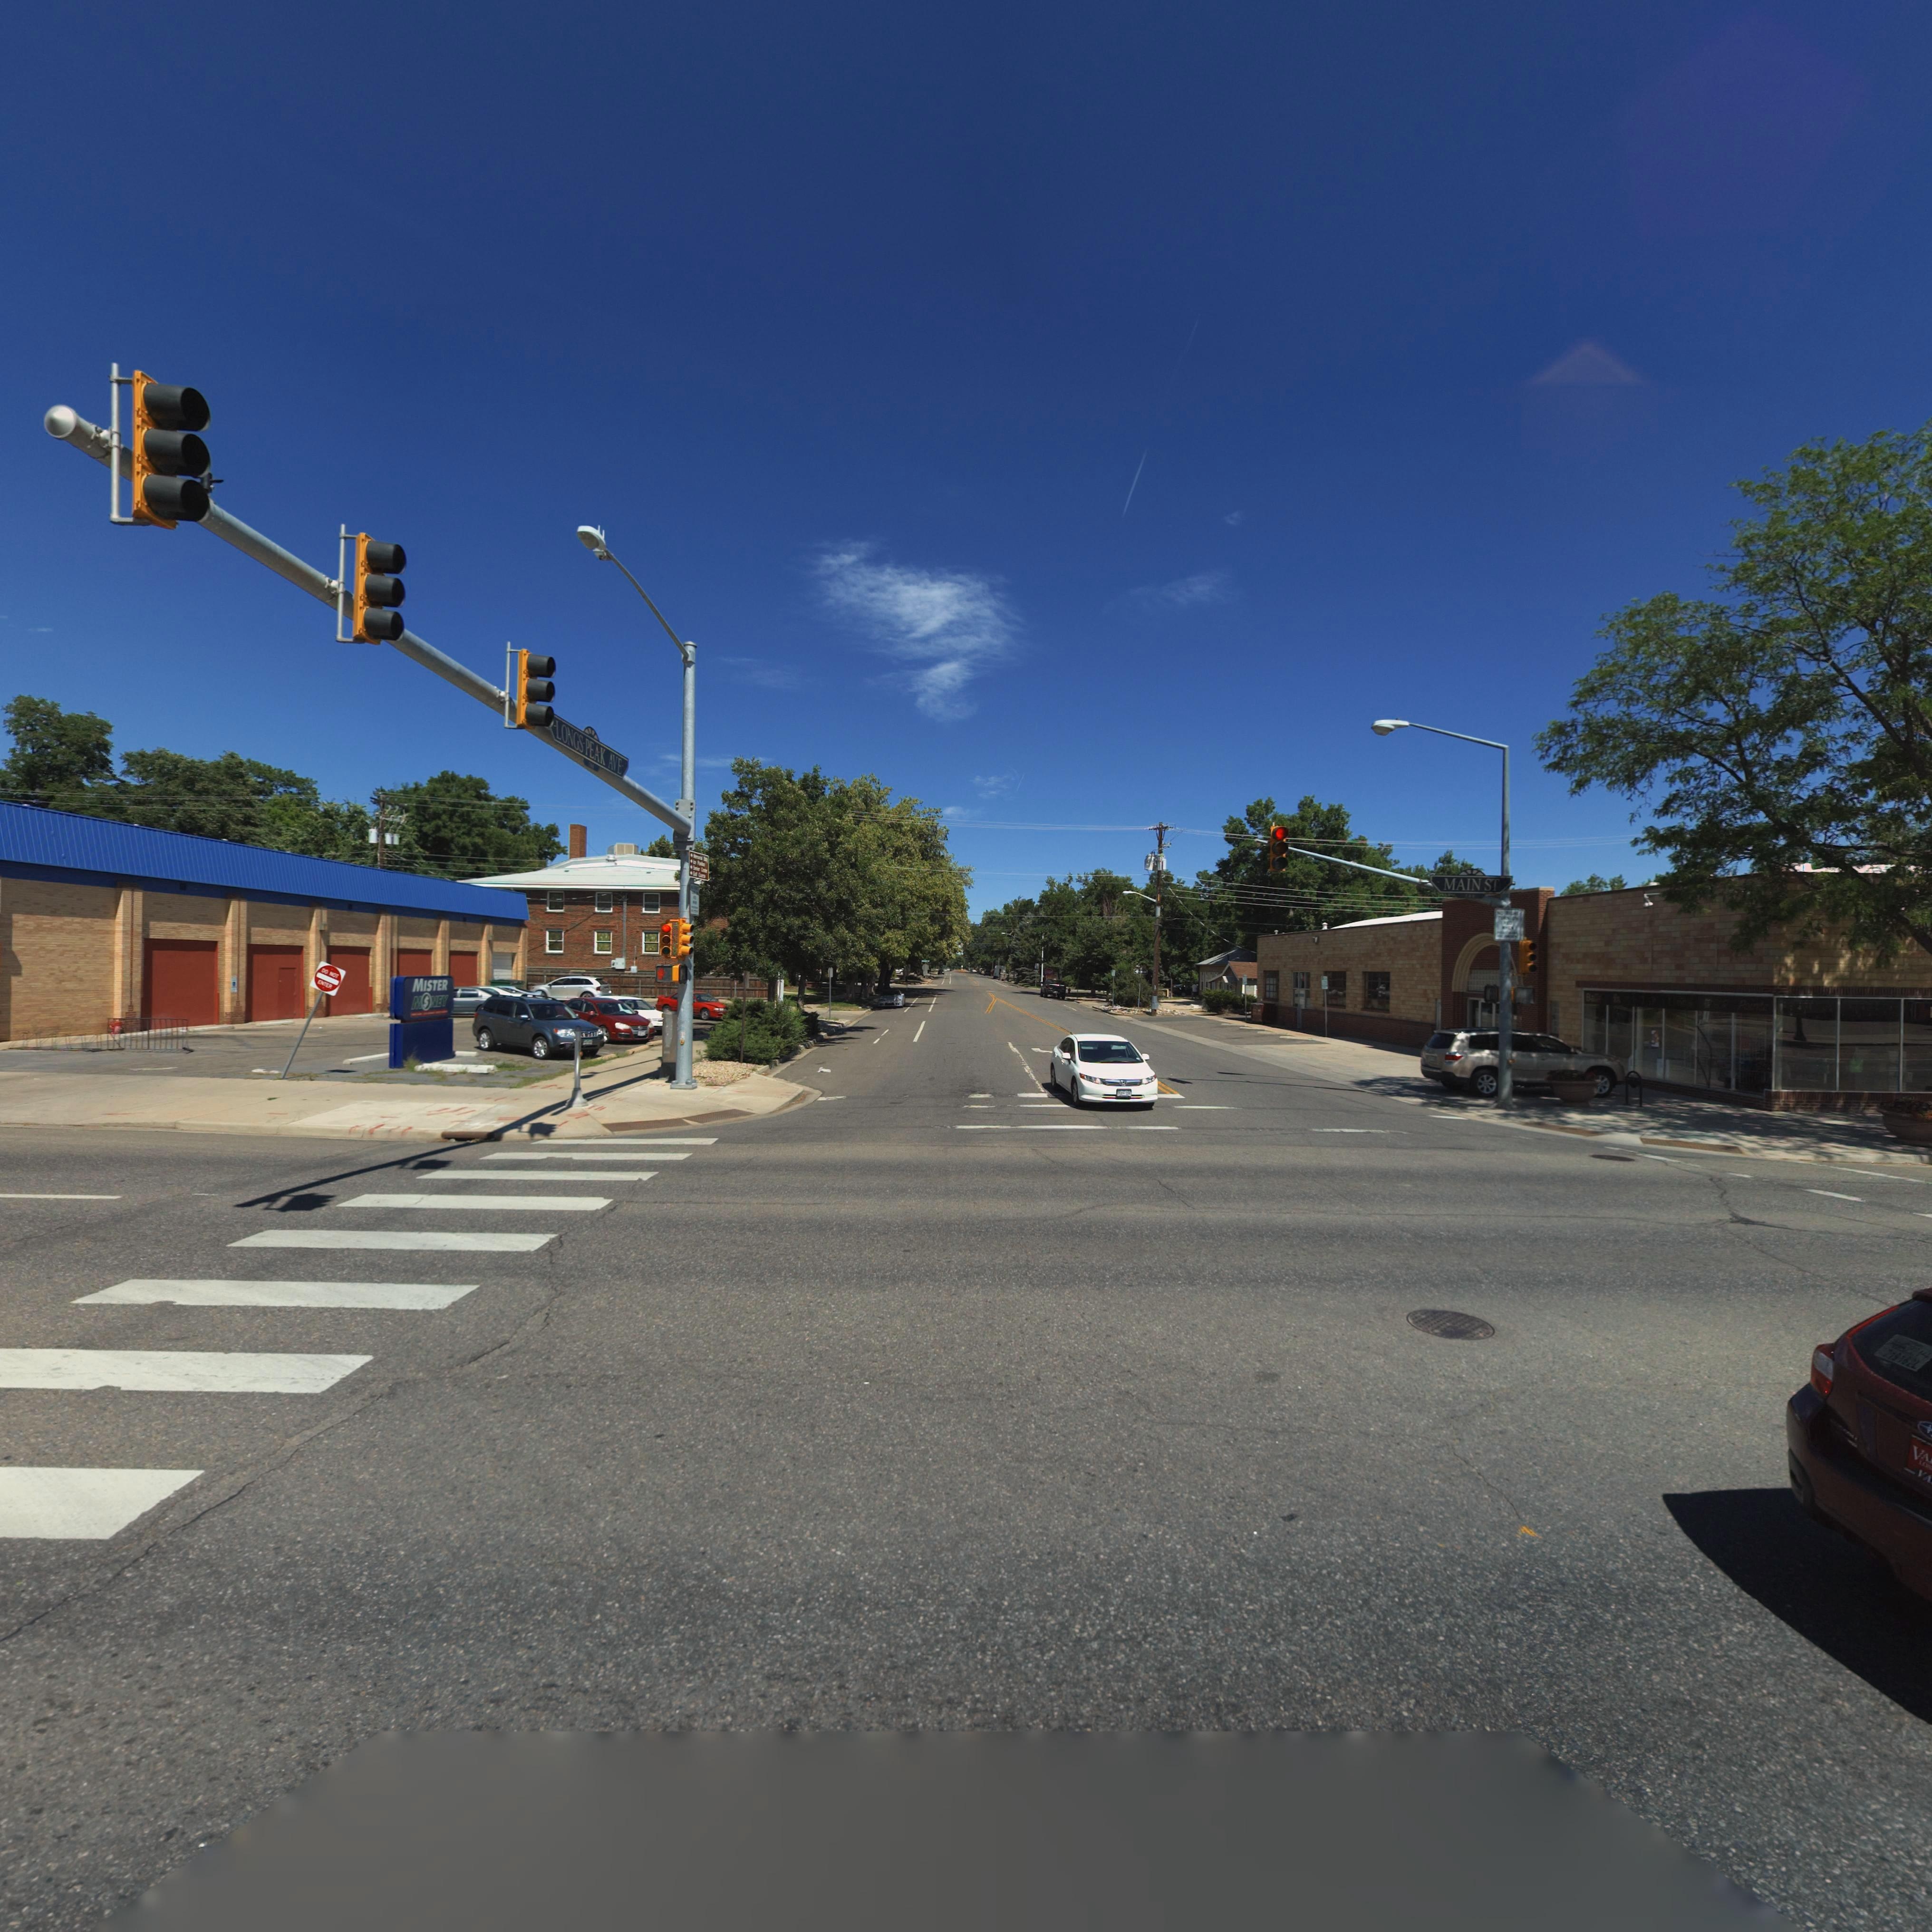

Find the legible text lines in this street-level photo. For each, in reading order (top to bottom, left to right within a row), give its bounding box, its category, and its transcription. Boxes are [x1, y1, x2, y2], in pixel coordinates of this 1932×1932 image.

[556, 719, 622, 775] StreetName: LONGS PEAK AVE
[1443, 878, 1500, 891] StreetName: MAIN ST
[411, 978, 448, 992] BusinessName: MISTER
[411, 995, 449, 1010] BusinessName: M*NEY